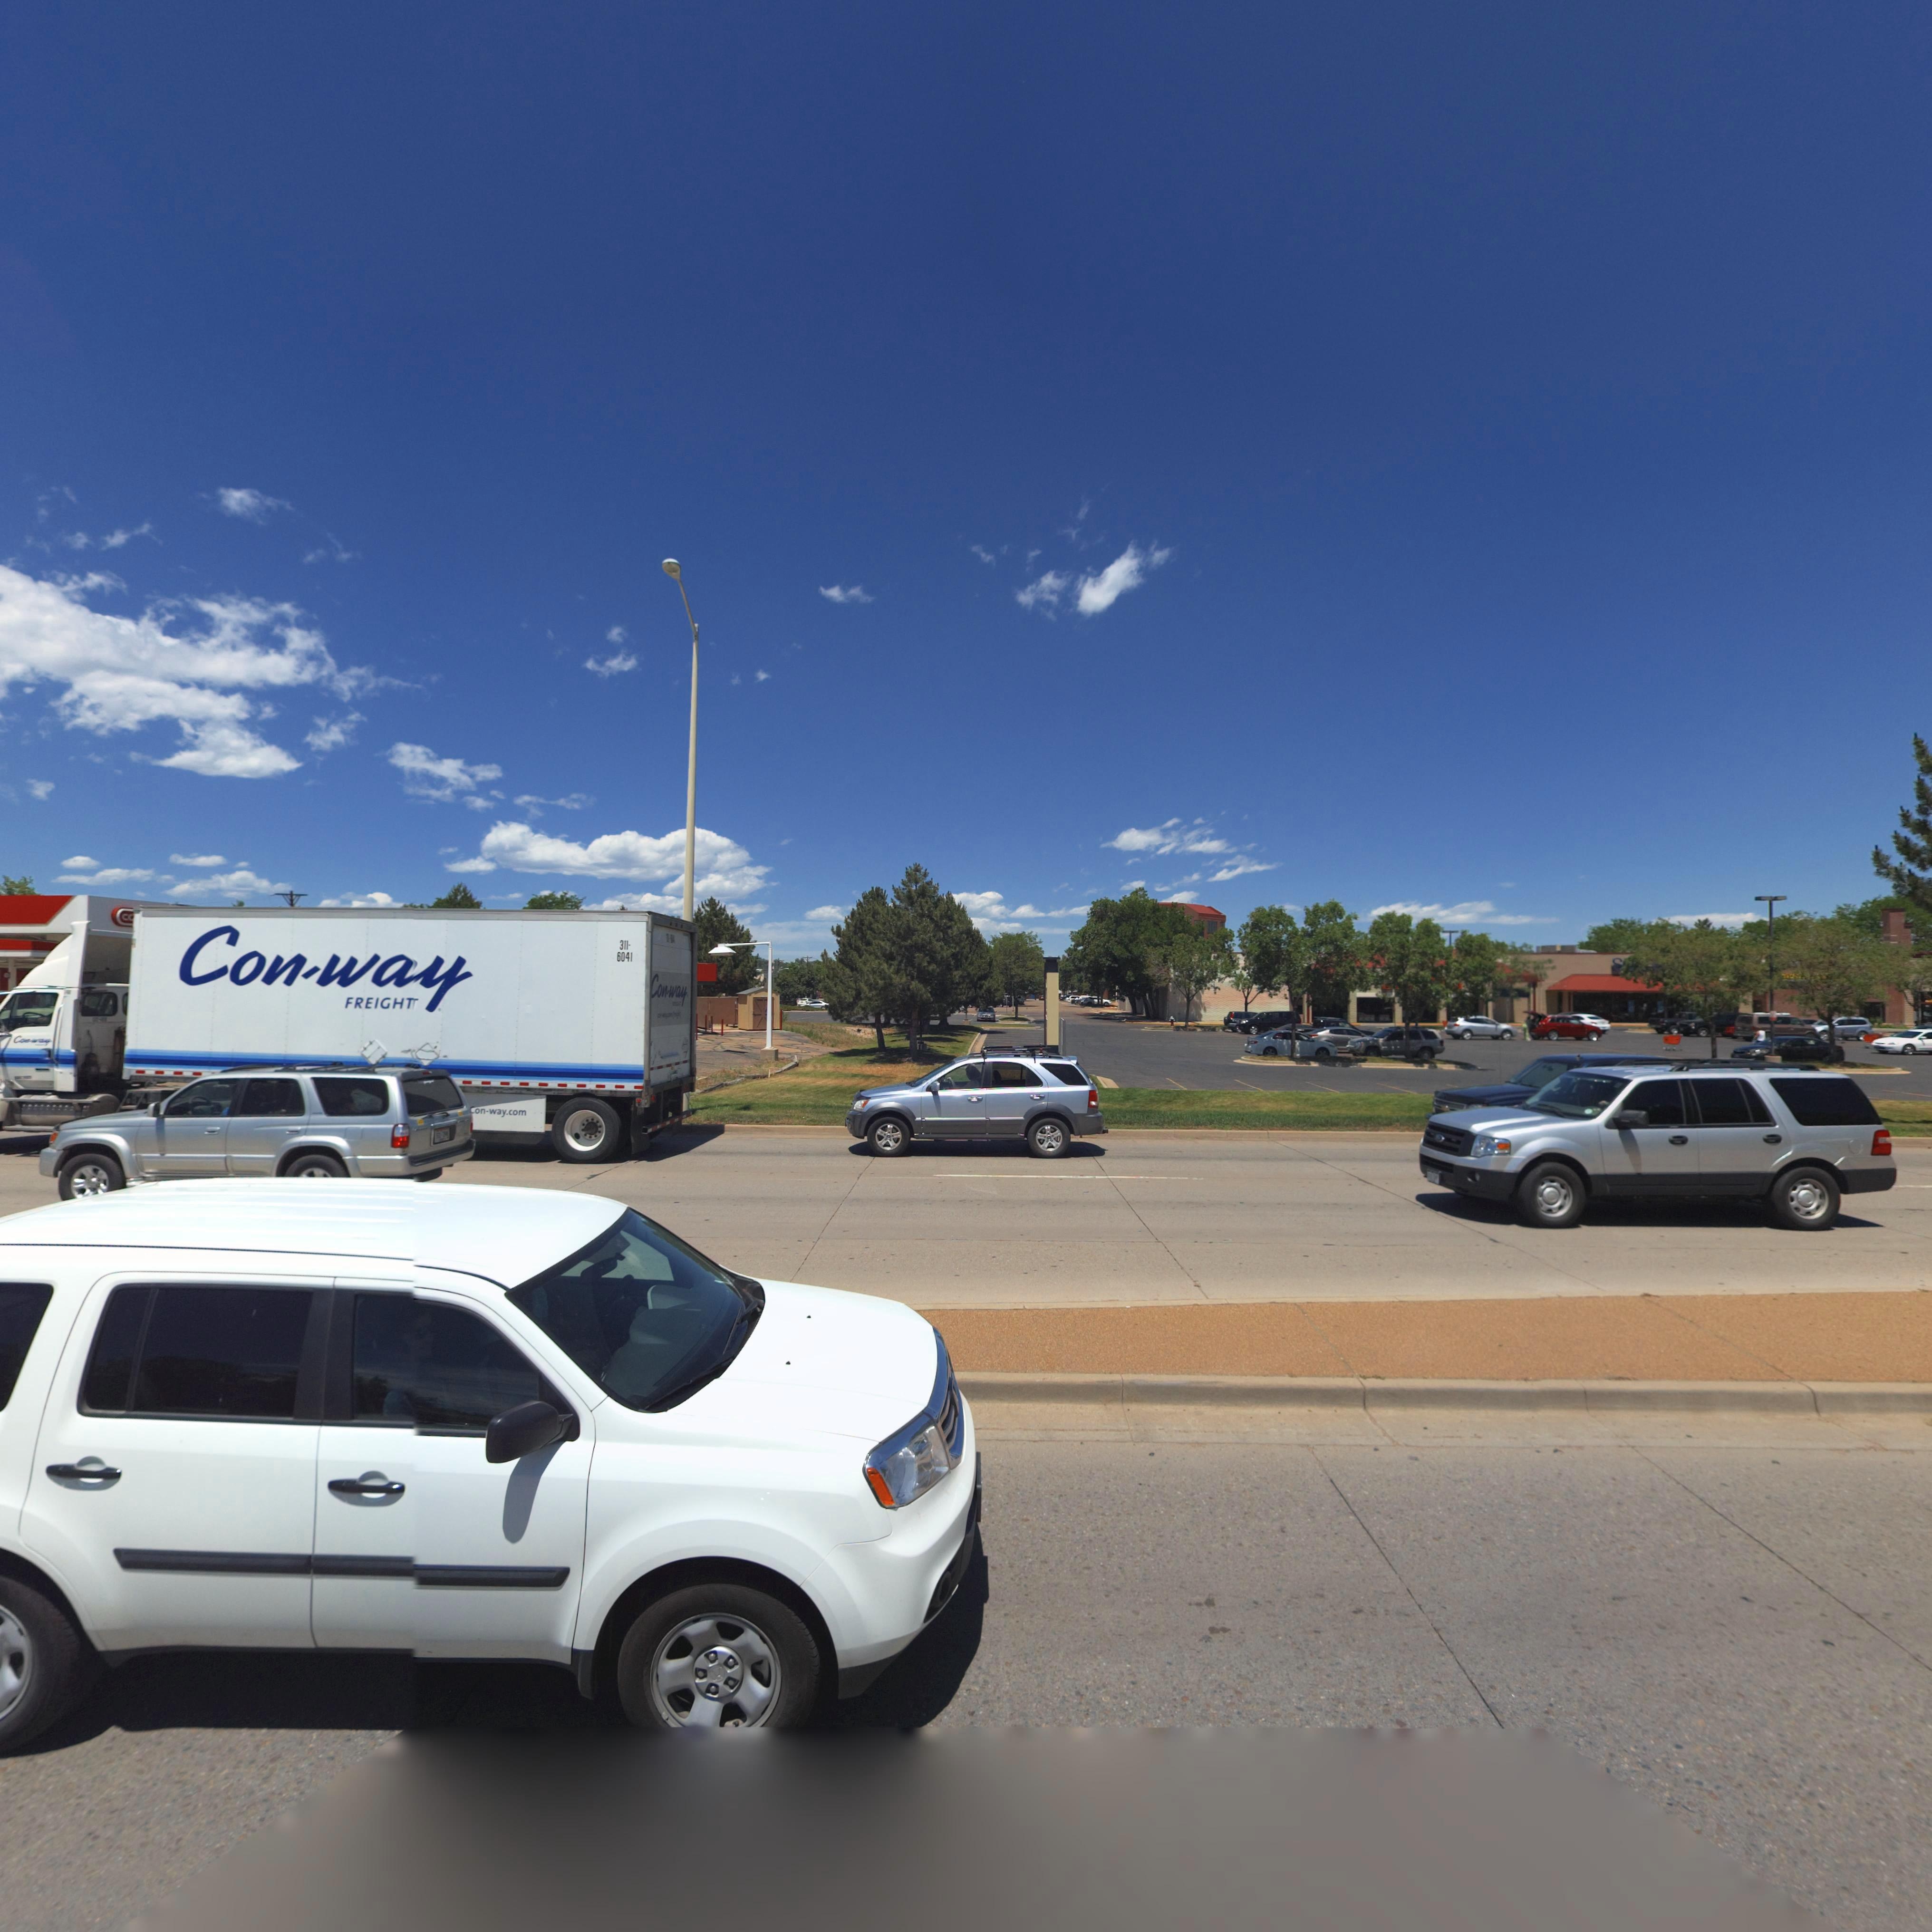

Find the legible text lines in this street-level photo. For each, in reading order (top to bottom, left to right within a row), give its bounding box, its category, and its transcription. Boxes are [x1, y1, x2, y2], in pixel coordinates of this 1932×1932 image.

[121, 913, 133, 921] BusinessName: c*
[1613, 957, 1623, 972] BusinessName: s